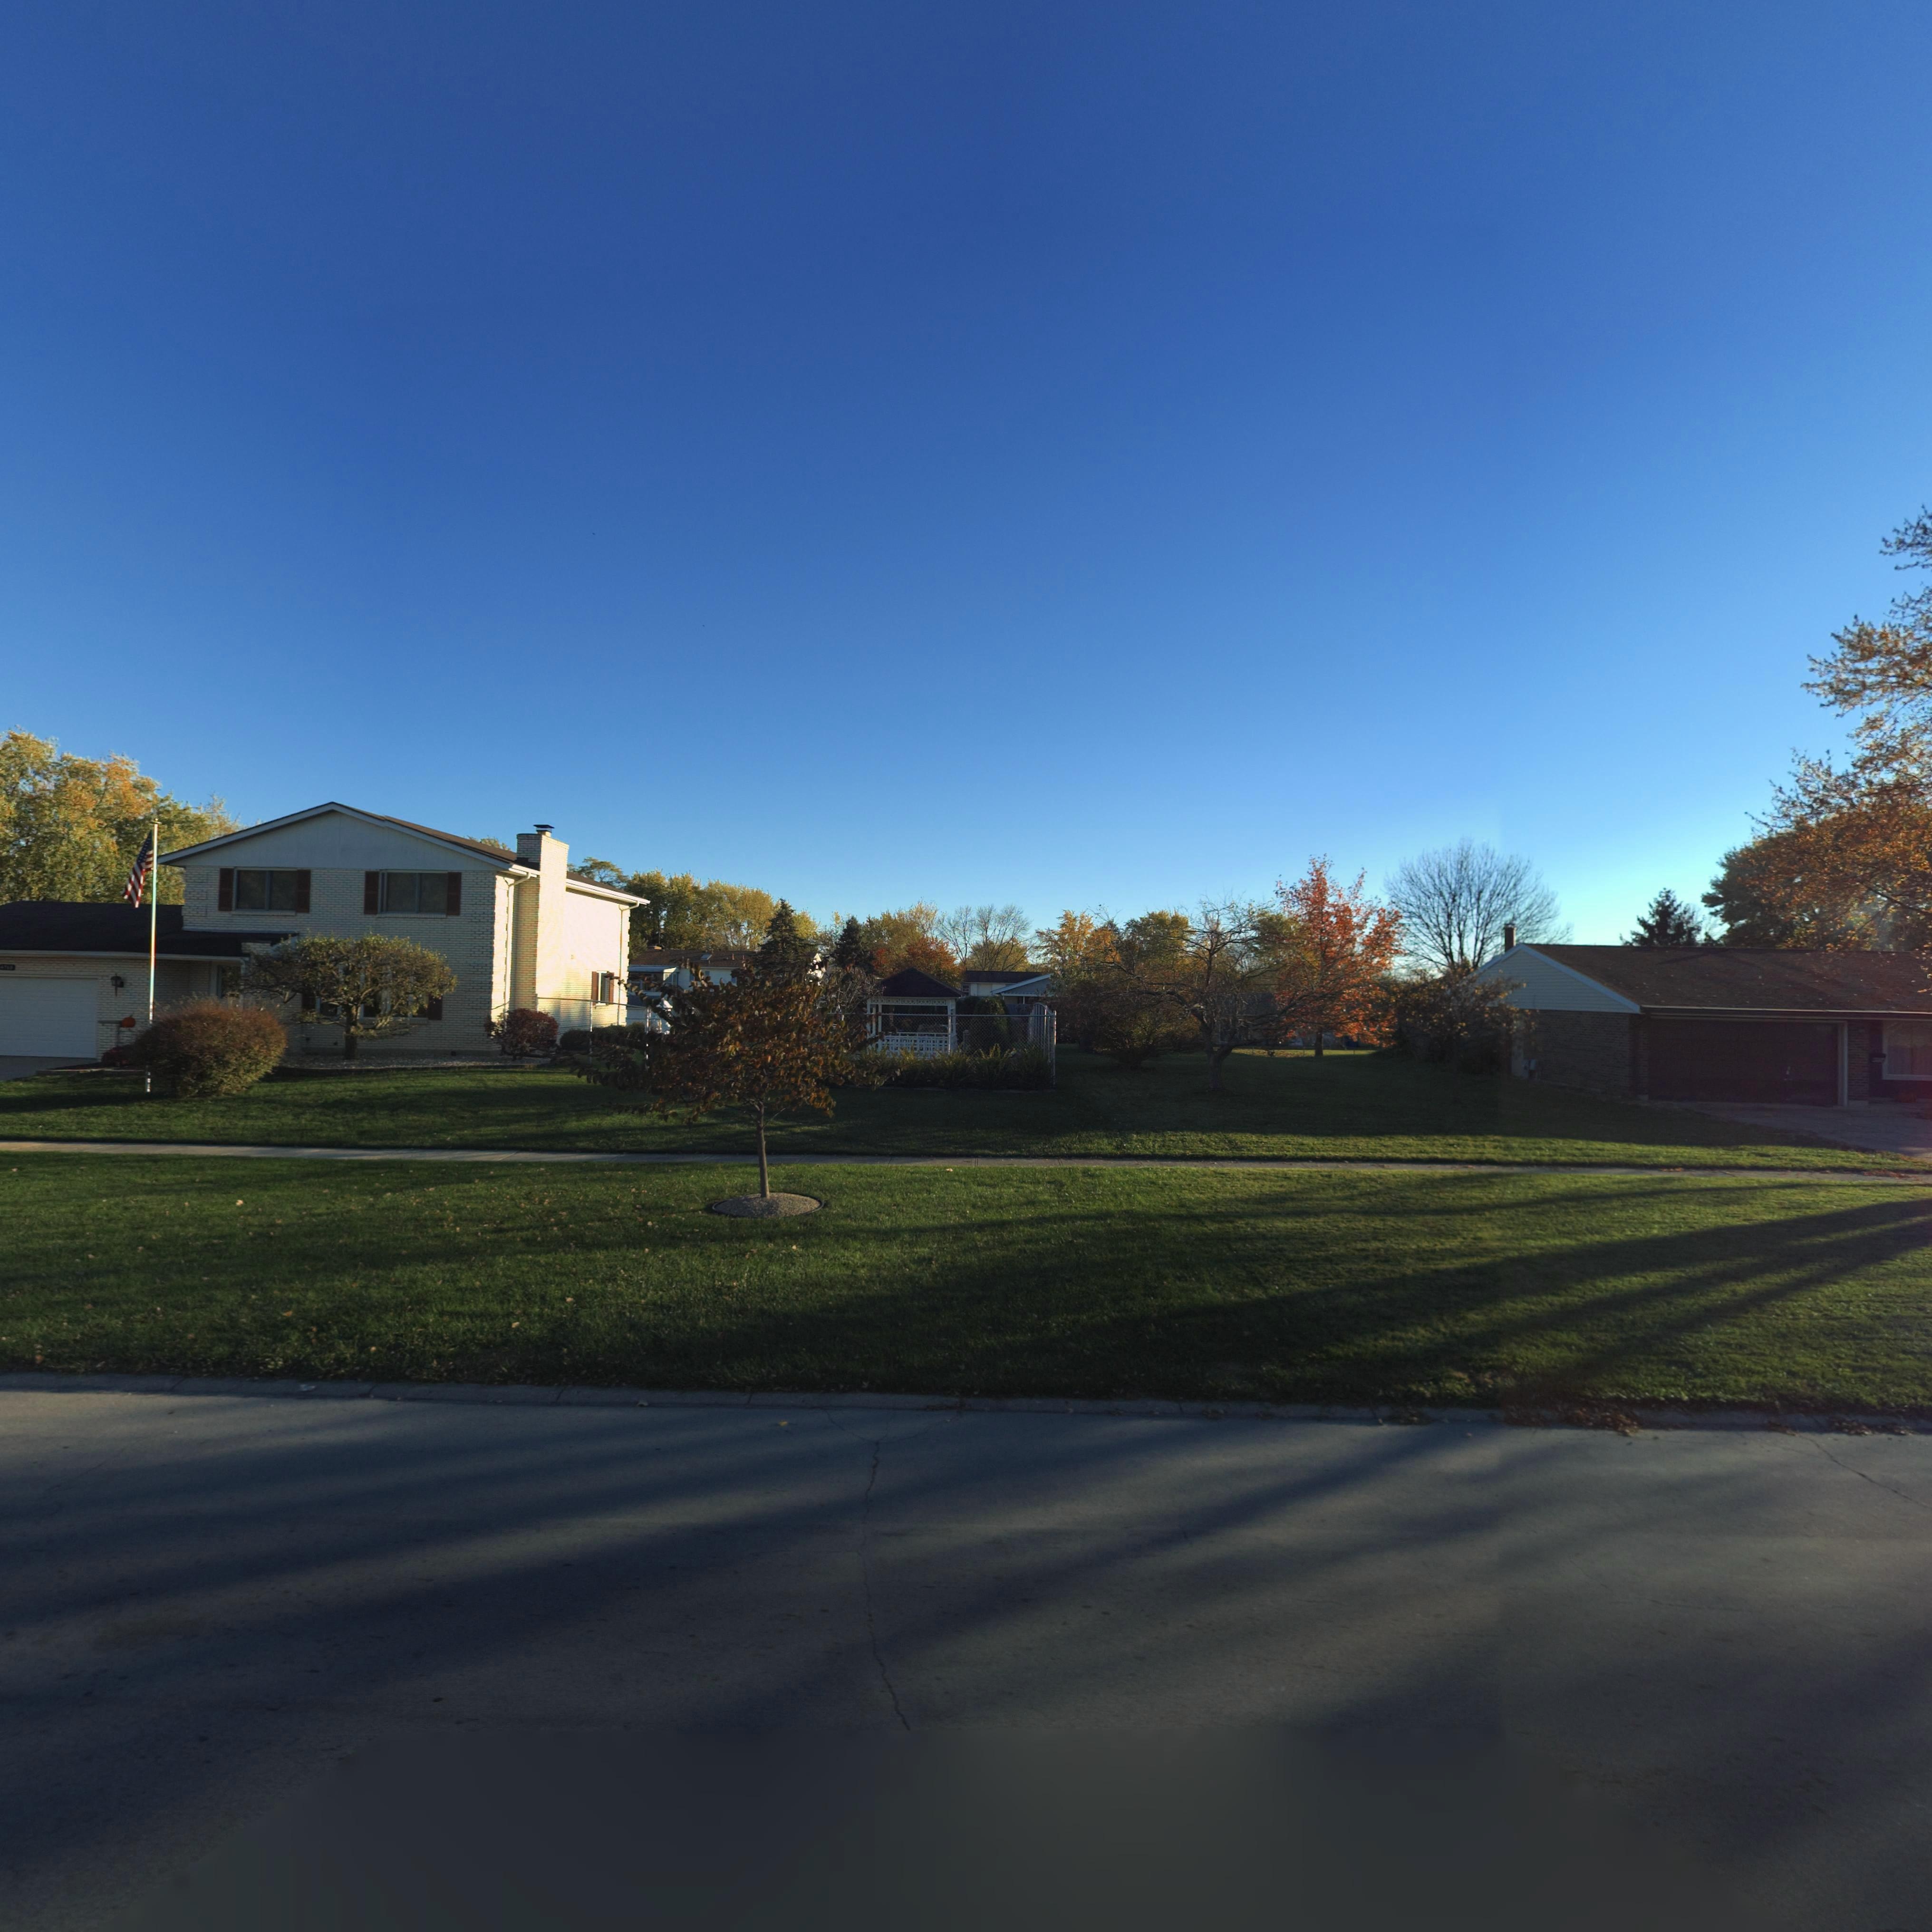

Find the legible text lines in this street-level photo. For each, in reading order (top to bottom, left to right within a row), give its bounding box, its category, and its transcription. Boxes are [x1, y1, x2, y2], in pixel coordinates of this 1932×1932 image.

[0, 965, 14, 970] StreetNumber: 4***